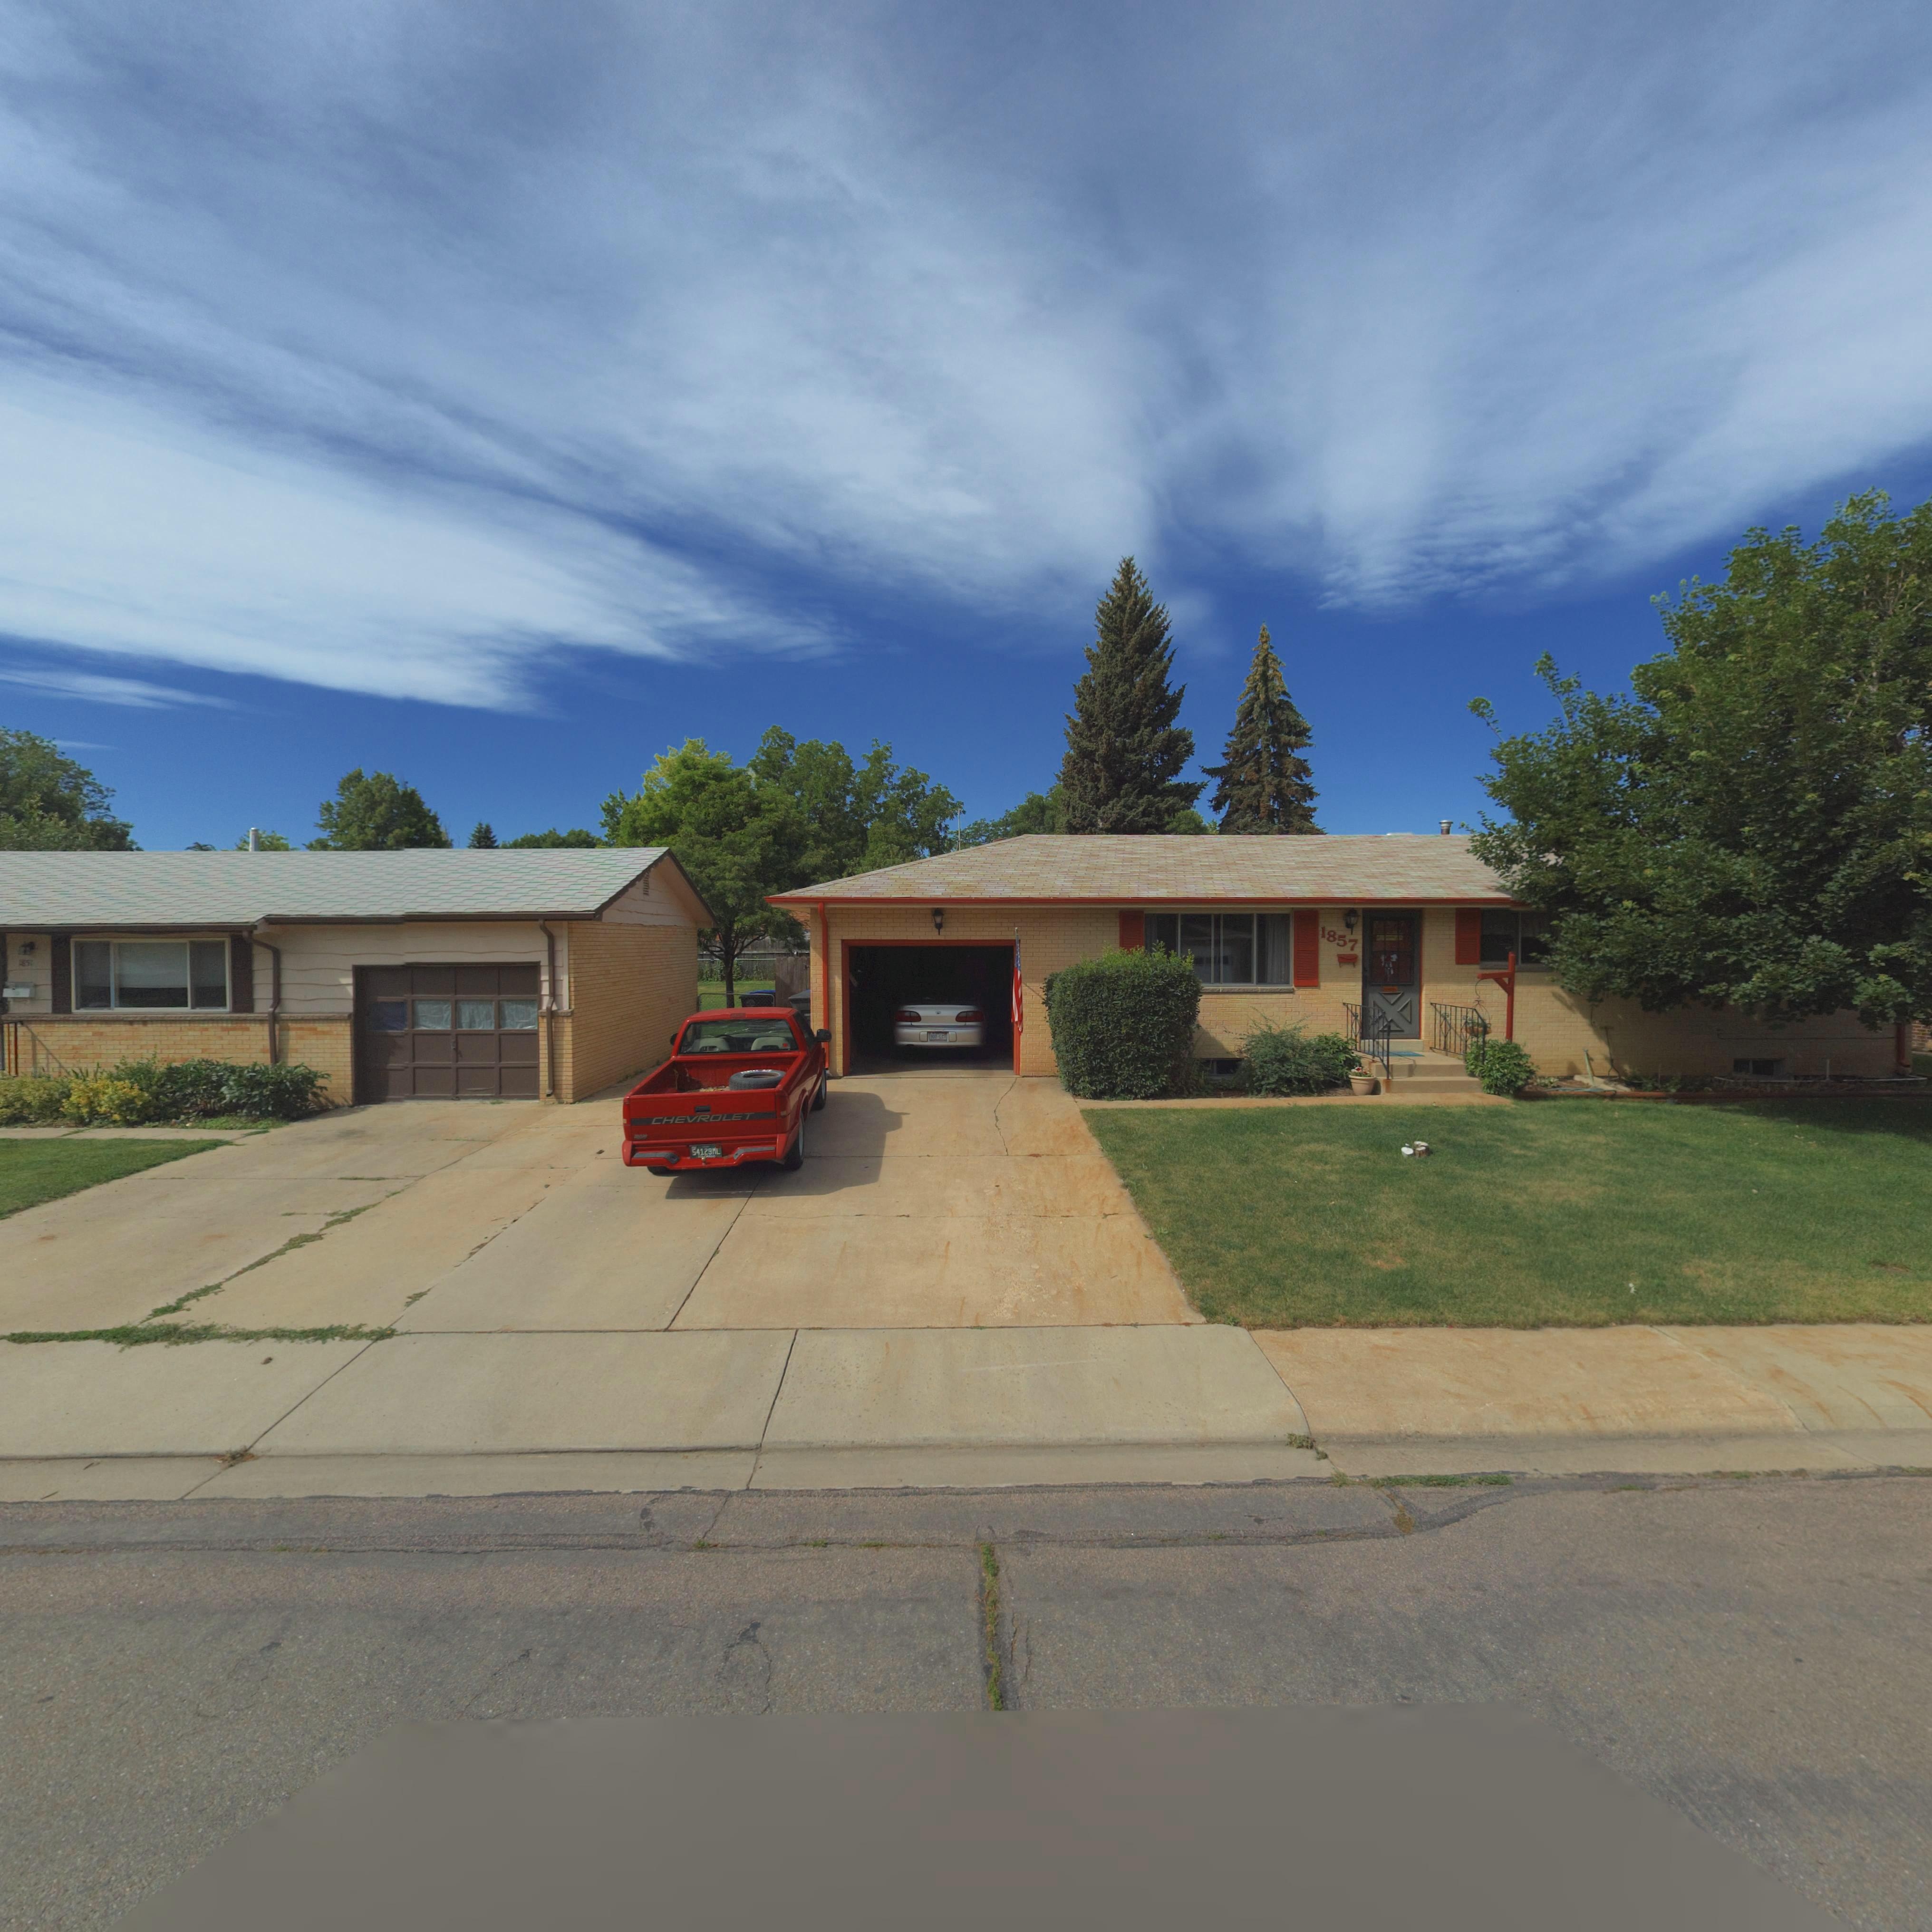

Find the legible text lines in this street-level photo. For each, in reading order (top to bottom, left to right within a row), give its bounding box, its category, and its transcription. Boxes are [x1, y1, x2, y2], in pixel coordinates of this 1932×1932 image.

[1320, 926, 1358, 951] StreetNumber: 1857
[19, 958, 34, 966] StreetNumber: 1857